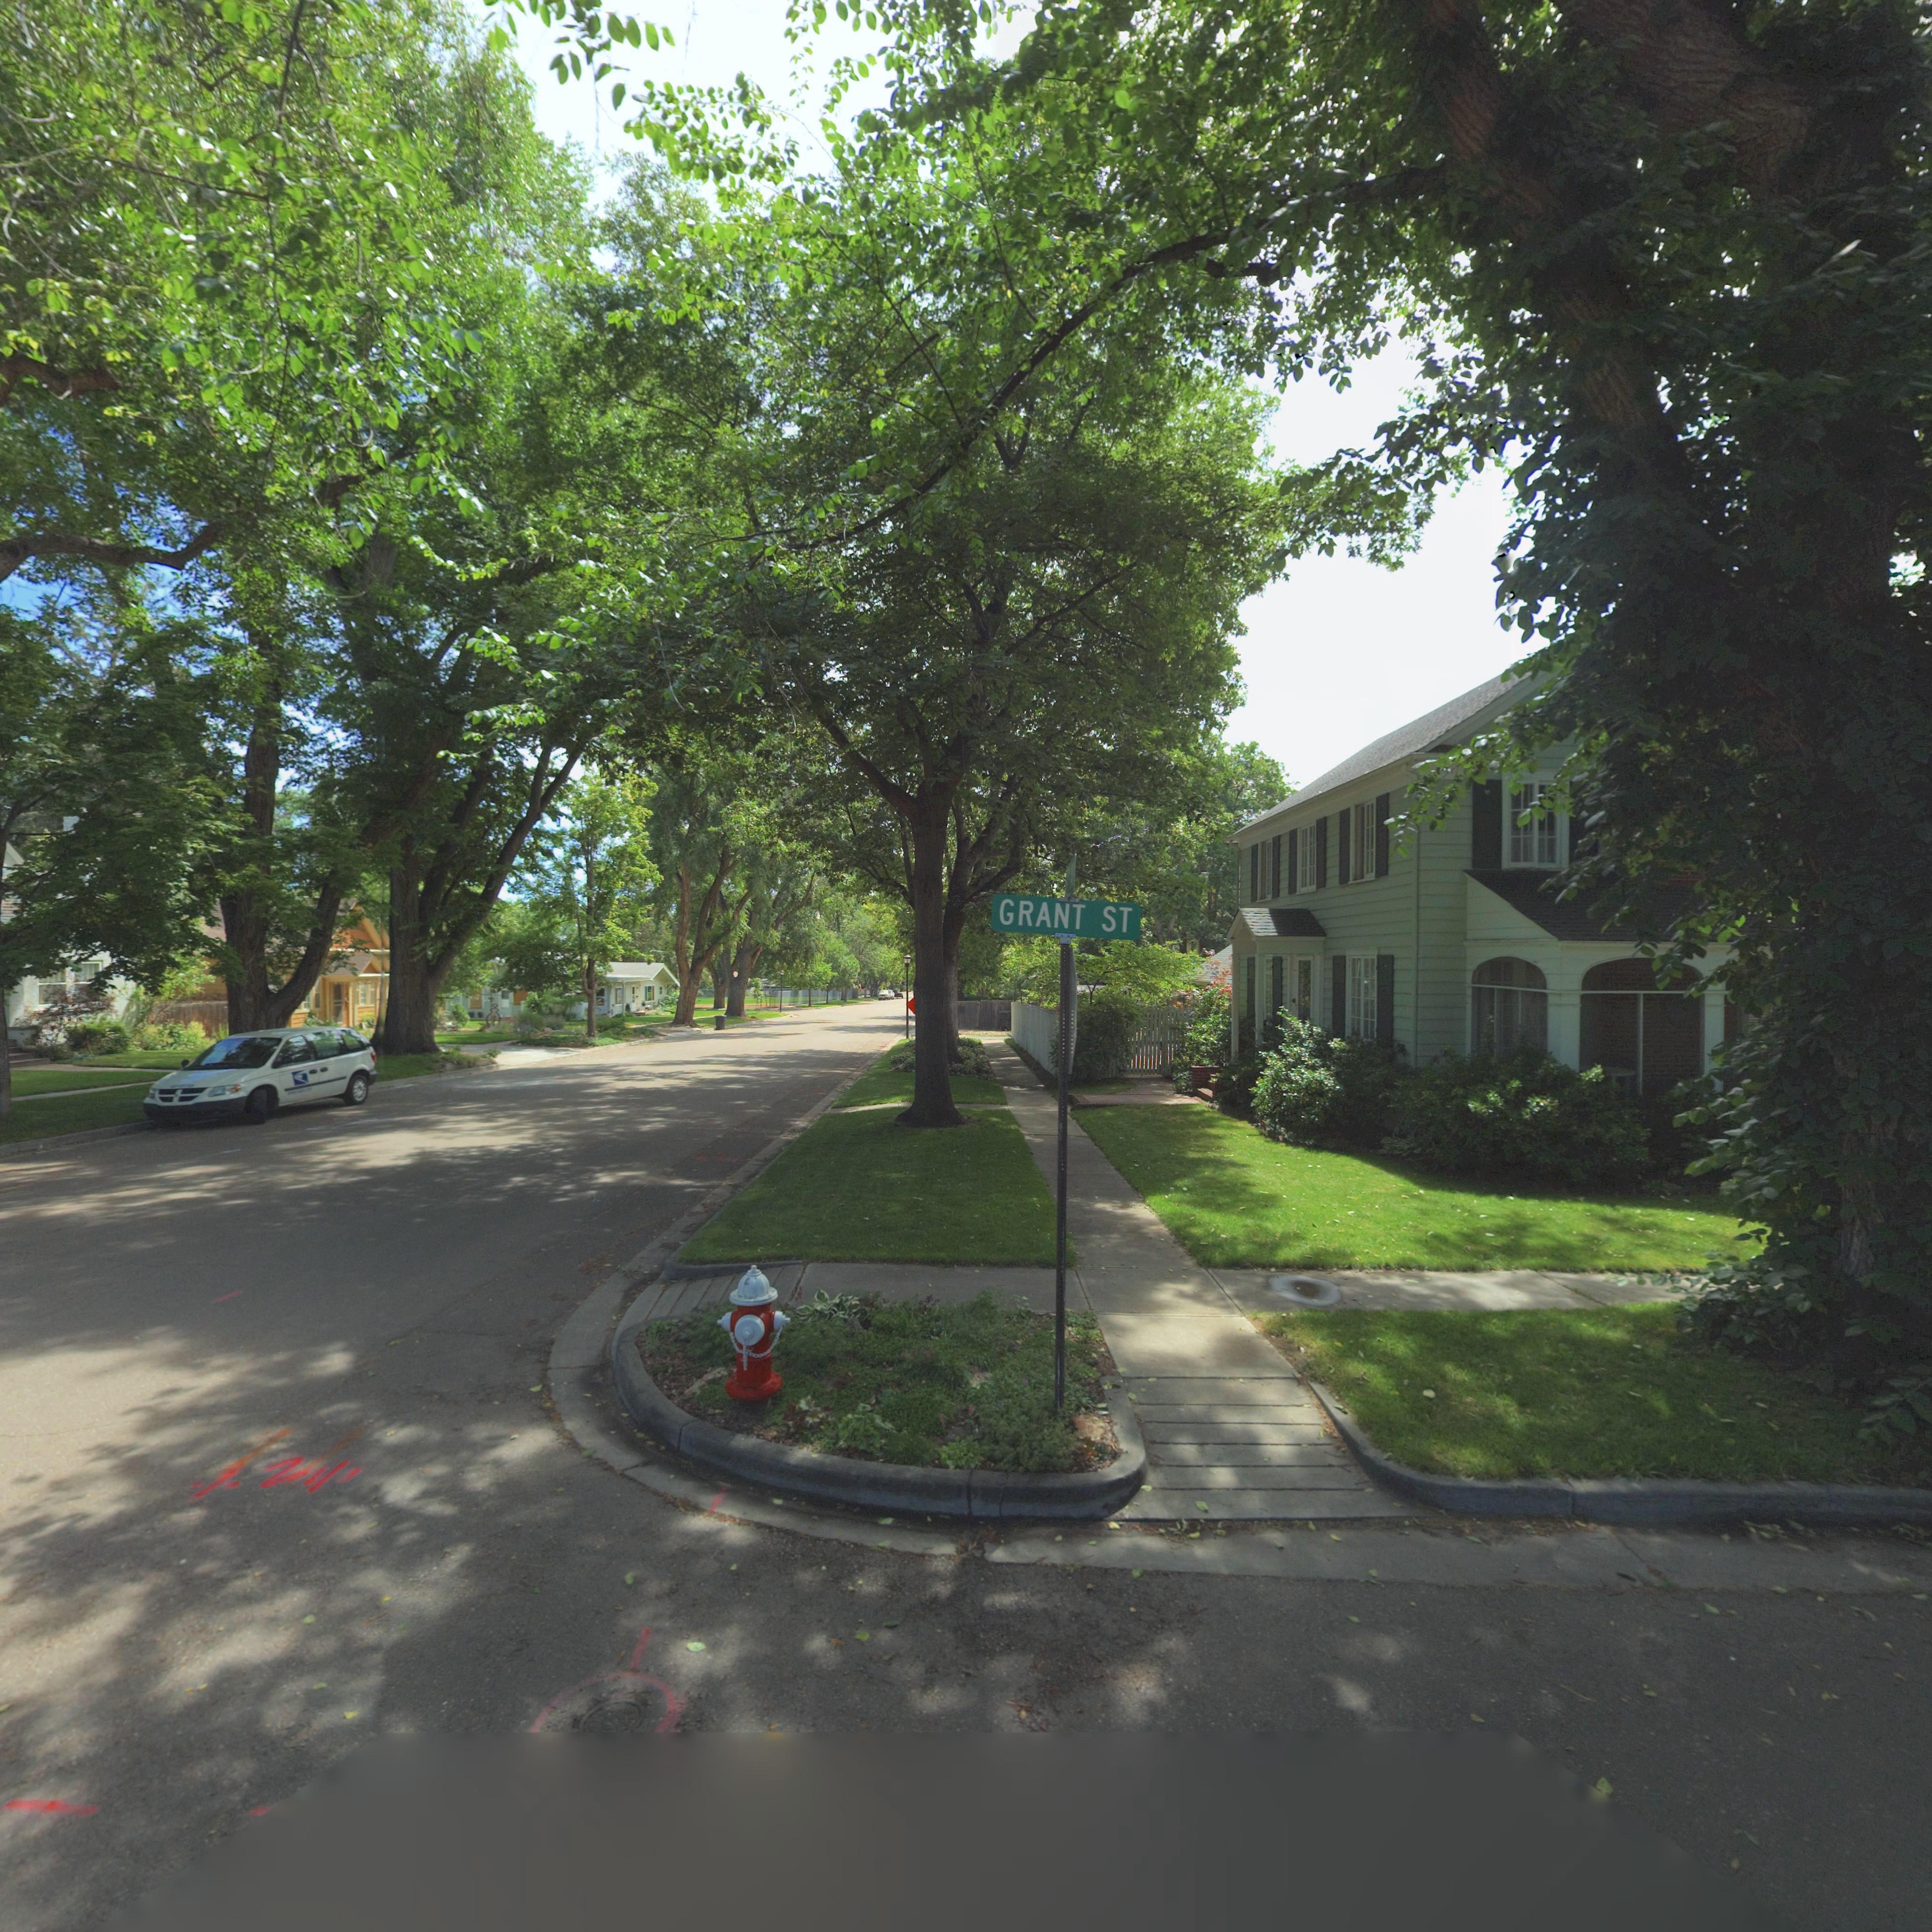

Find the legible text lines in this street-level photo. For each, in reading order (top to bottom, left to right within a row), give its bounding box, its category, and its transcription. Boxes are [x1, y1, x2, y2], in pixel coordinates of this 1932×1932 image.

[998, 898, 1133, 934] StreetName: GRANT ST